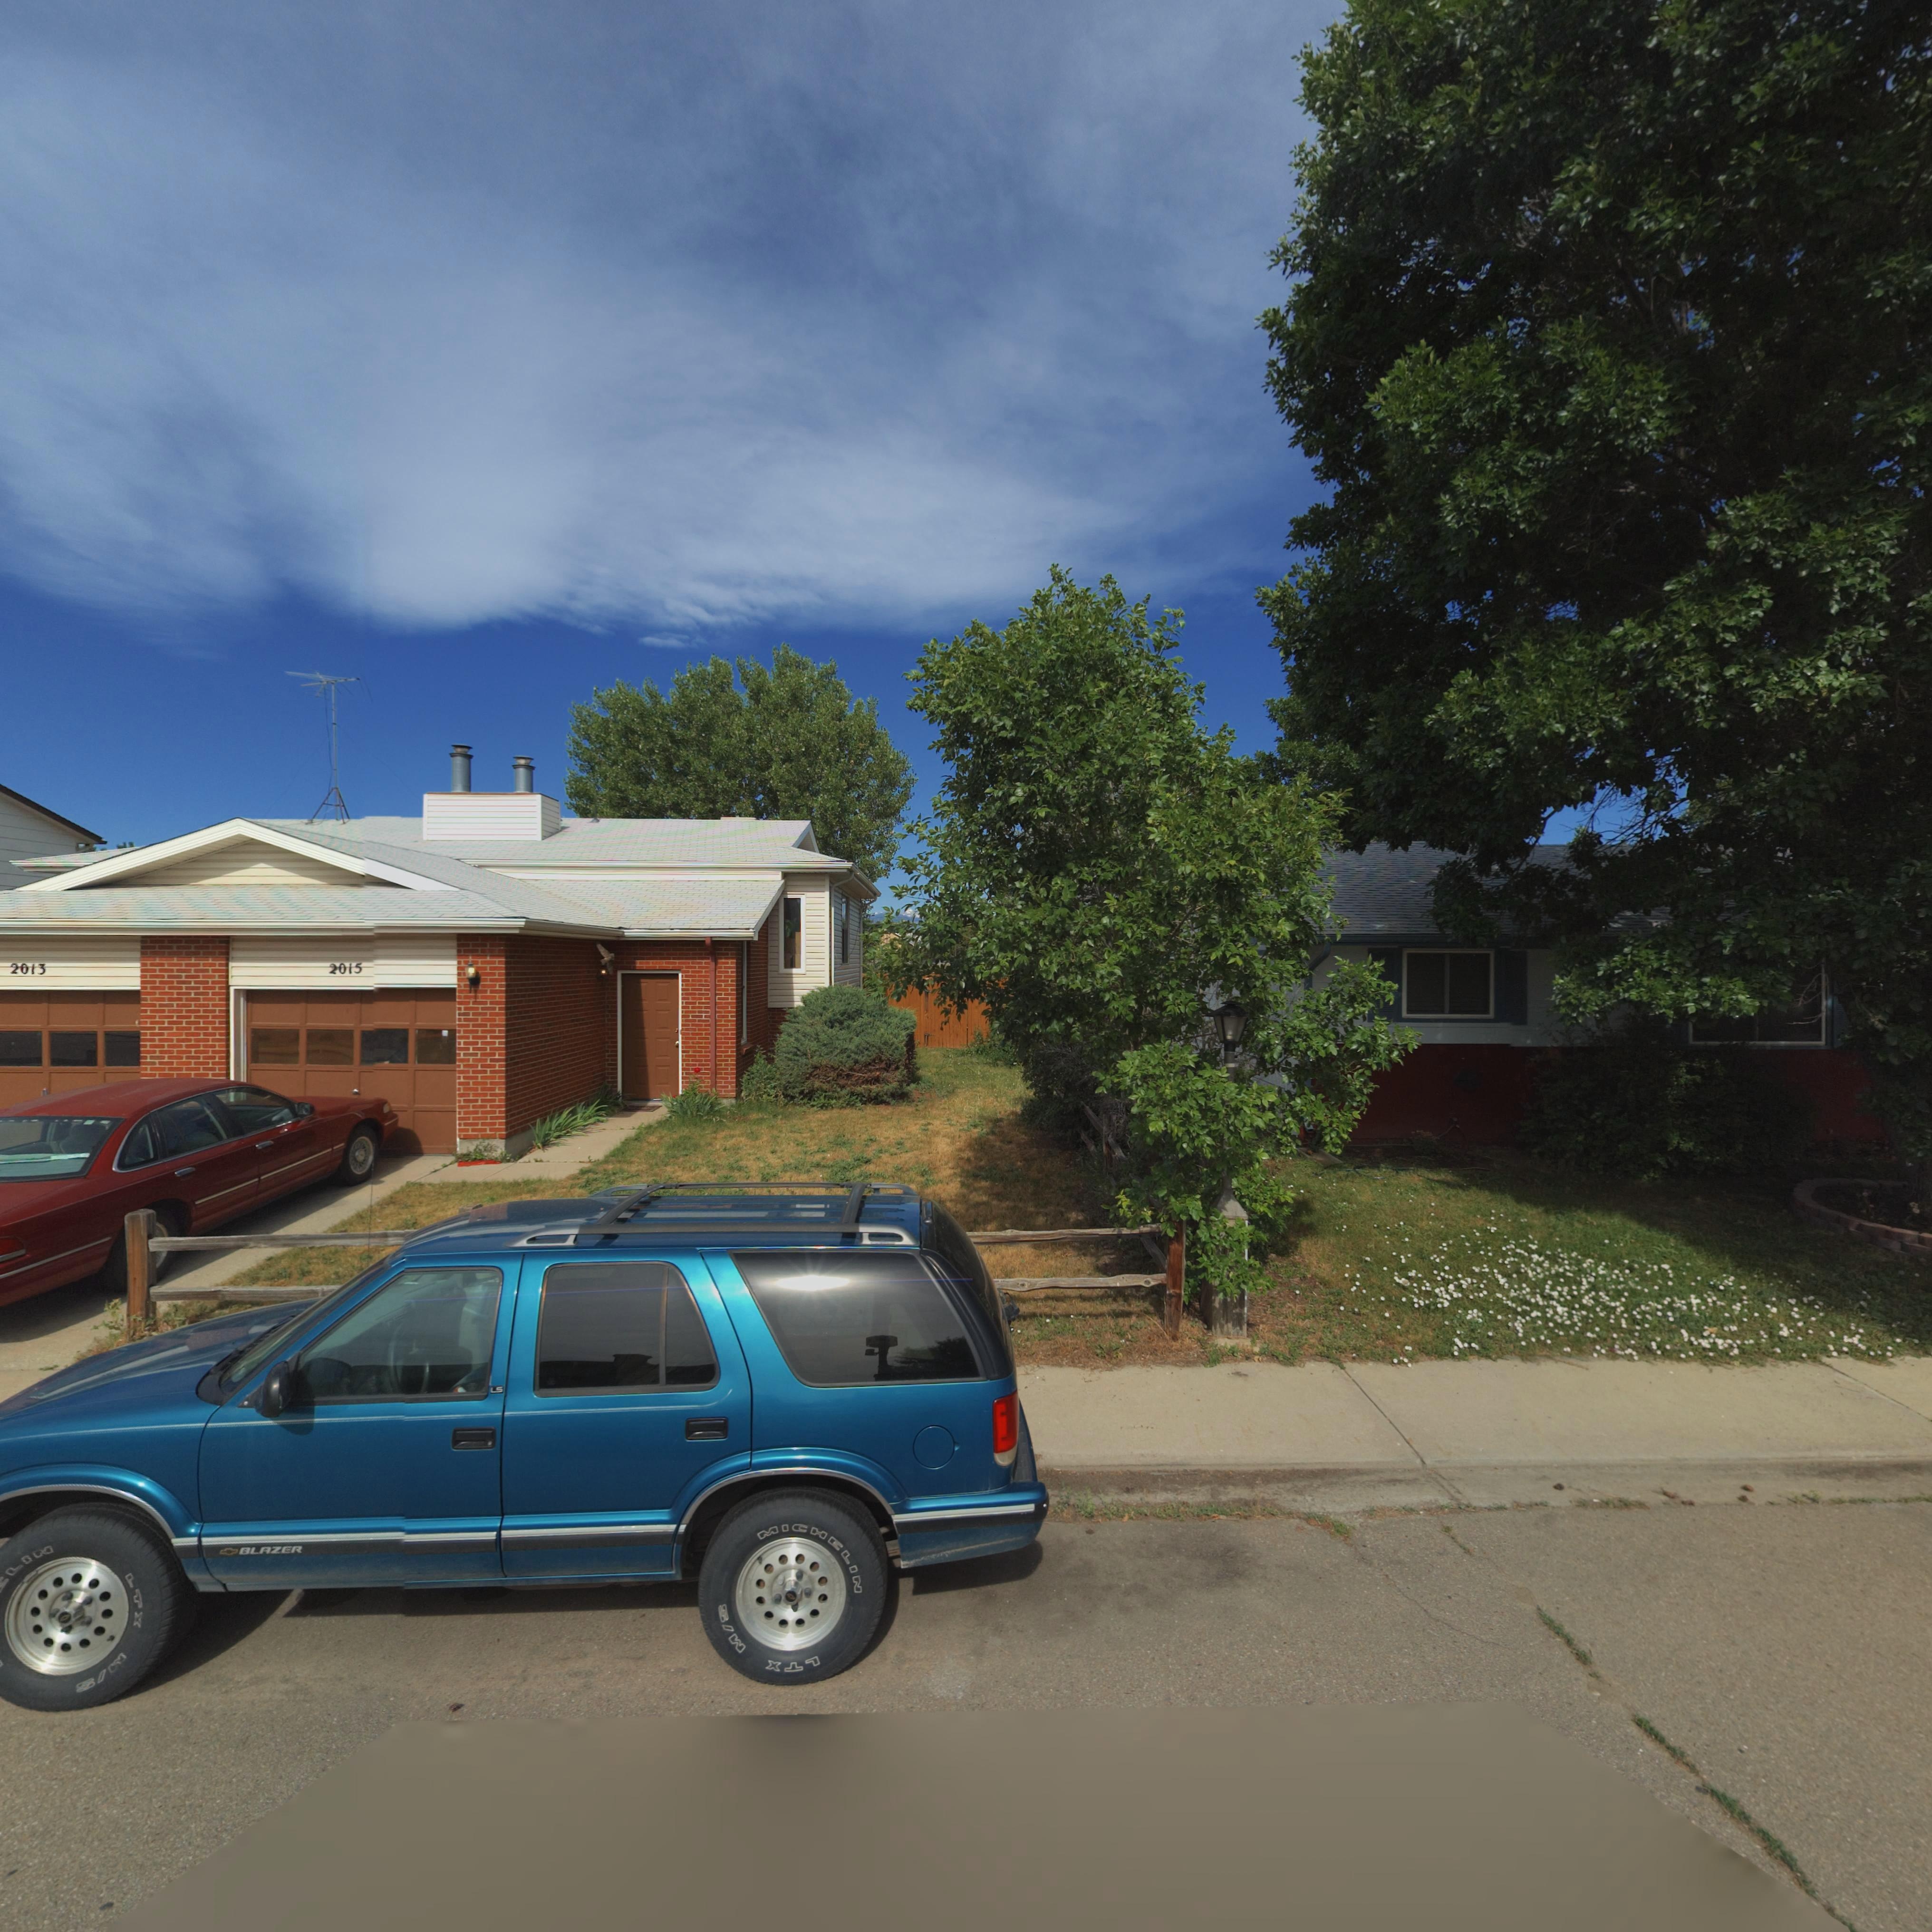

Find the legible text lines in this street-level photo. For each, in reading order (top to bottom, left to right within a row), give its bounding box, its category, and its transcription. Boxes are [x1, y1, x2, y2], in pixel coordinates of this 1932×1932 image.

[9, 962, 46, 975] StreetNumber: 2013
[328, 962, 362, 974] StreetNumber: 2015